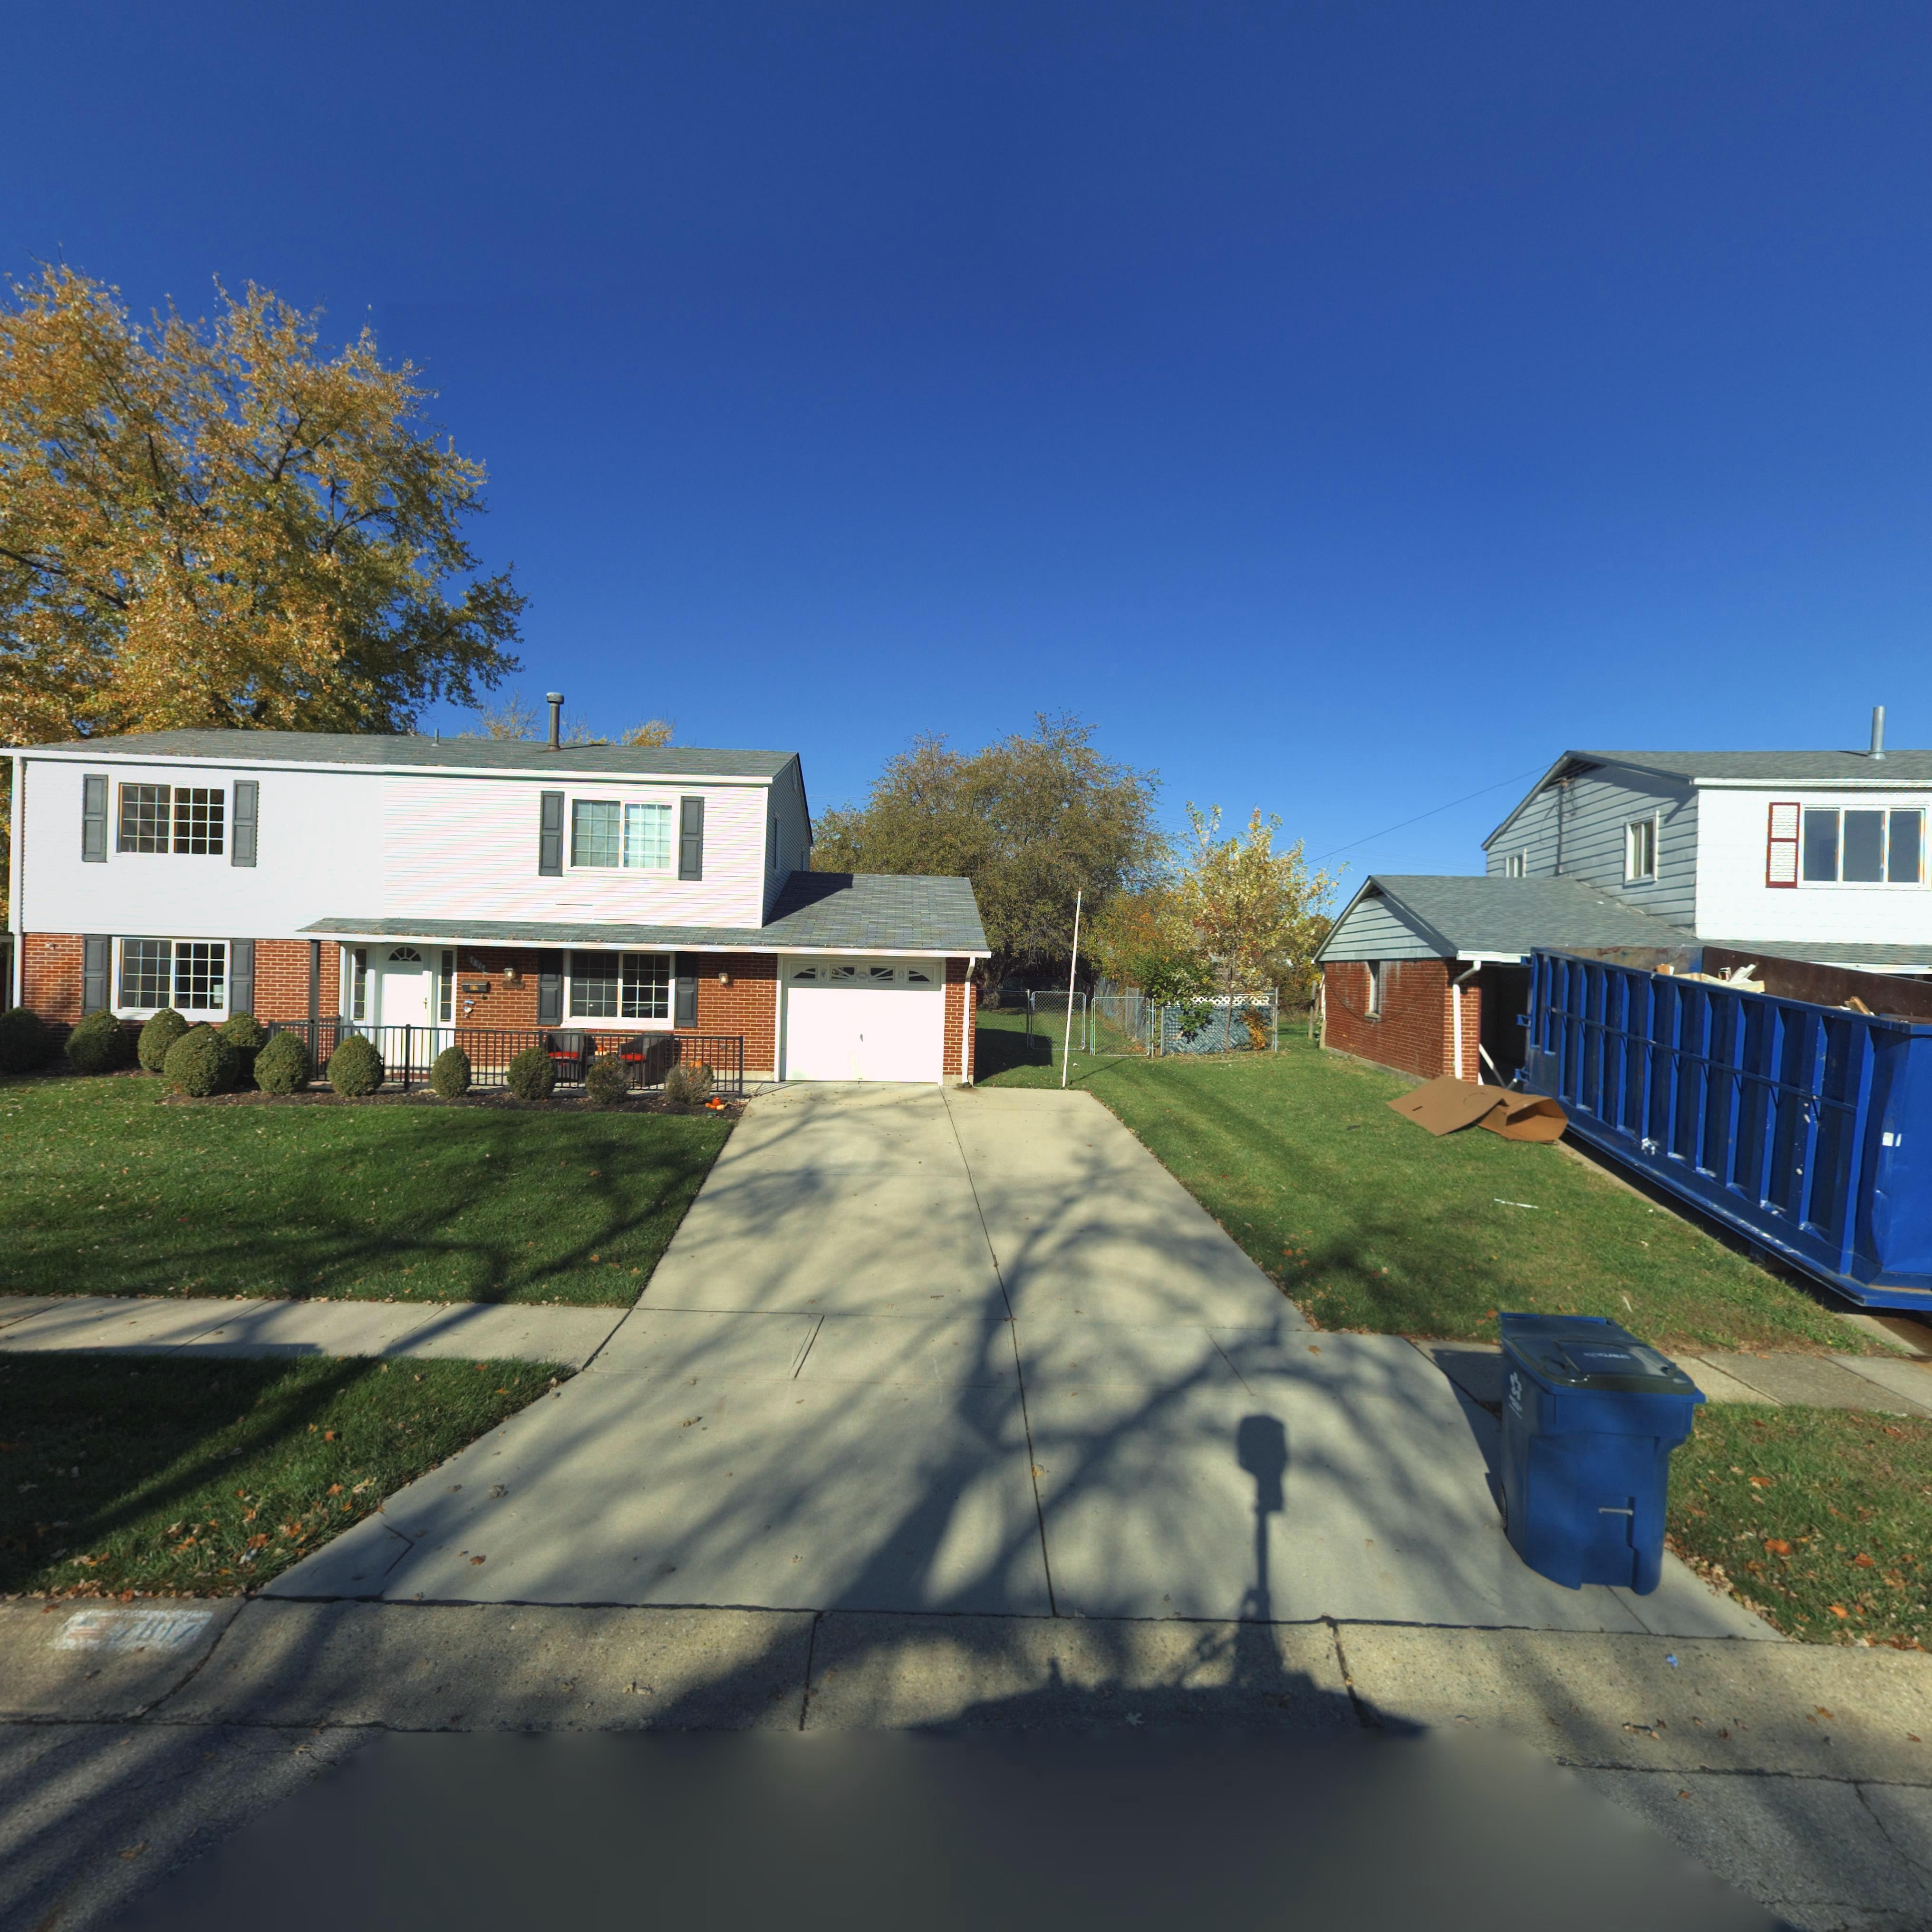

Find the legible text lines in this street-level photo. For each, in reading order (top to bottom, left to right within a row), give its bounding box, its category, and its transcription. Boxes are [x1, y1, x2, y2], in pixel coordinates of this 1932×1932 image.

[469, 955, 486, 974] StreetNumber: 7817
[109, 1615, 211, 1645] StreetNumber: 7017